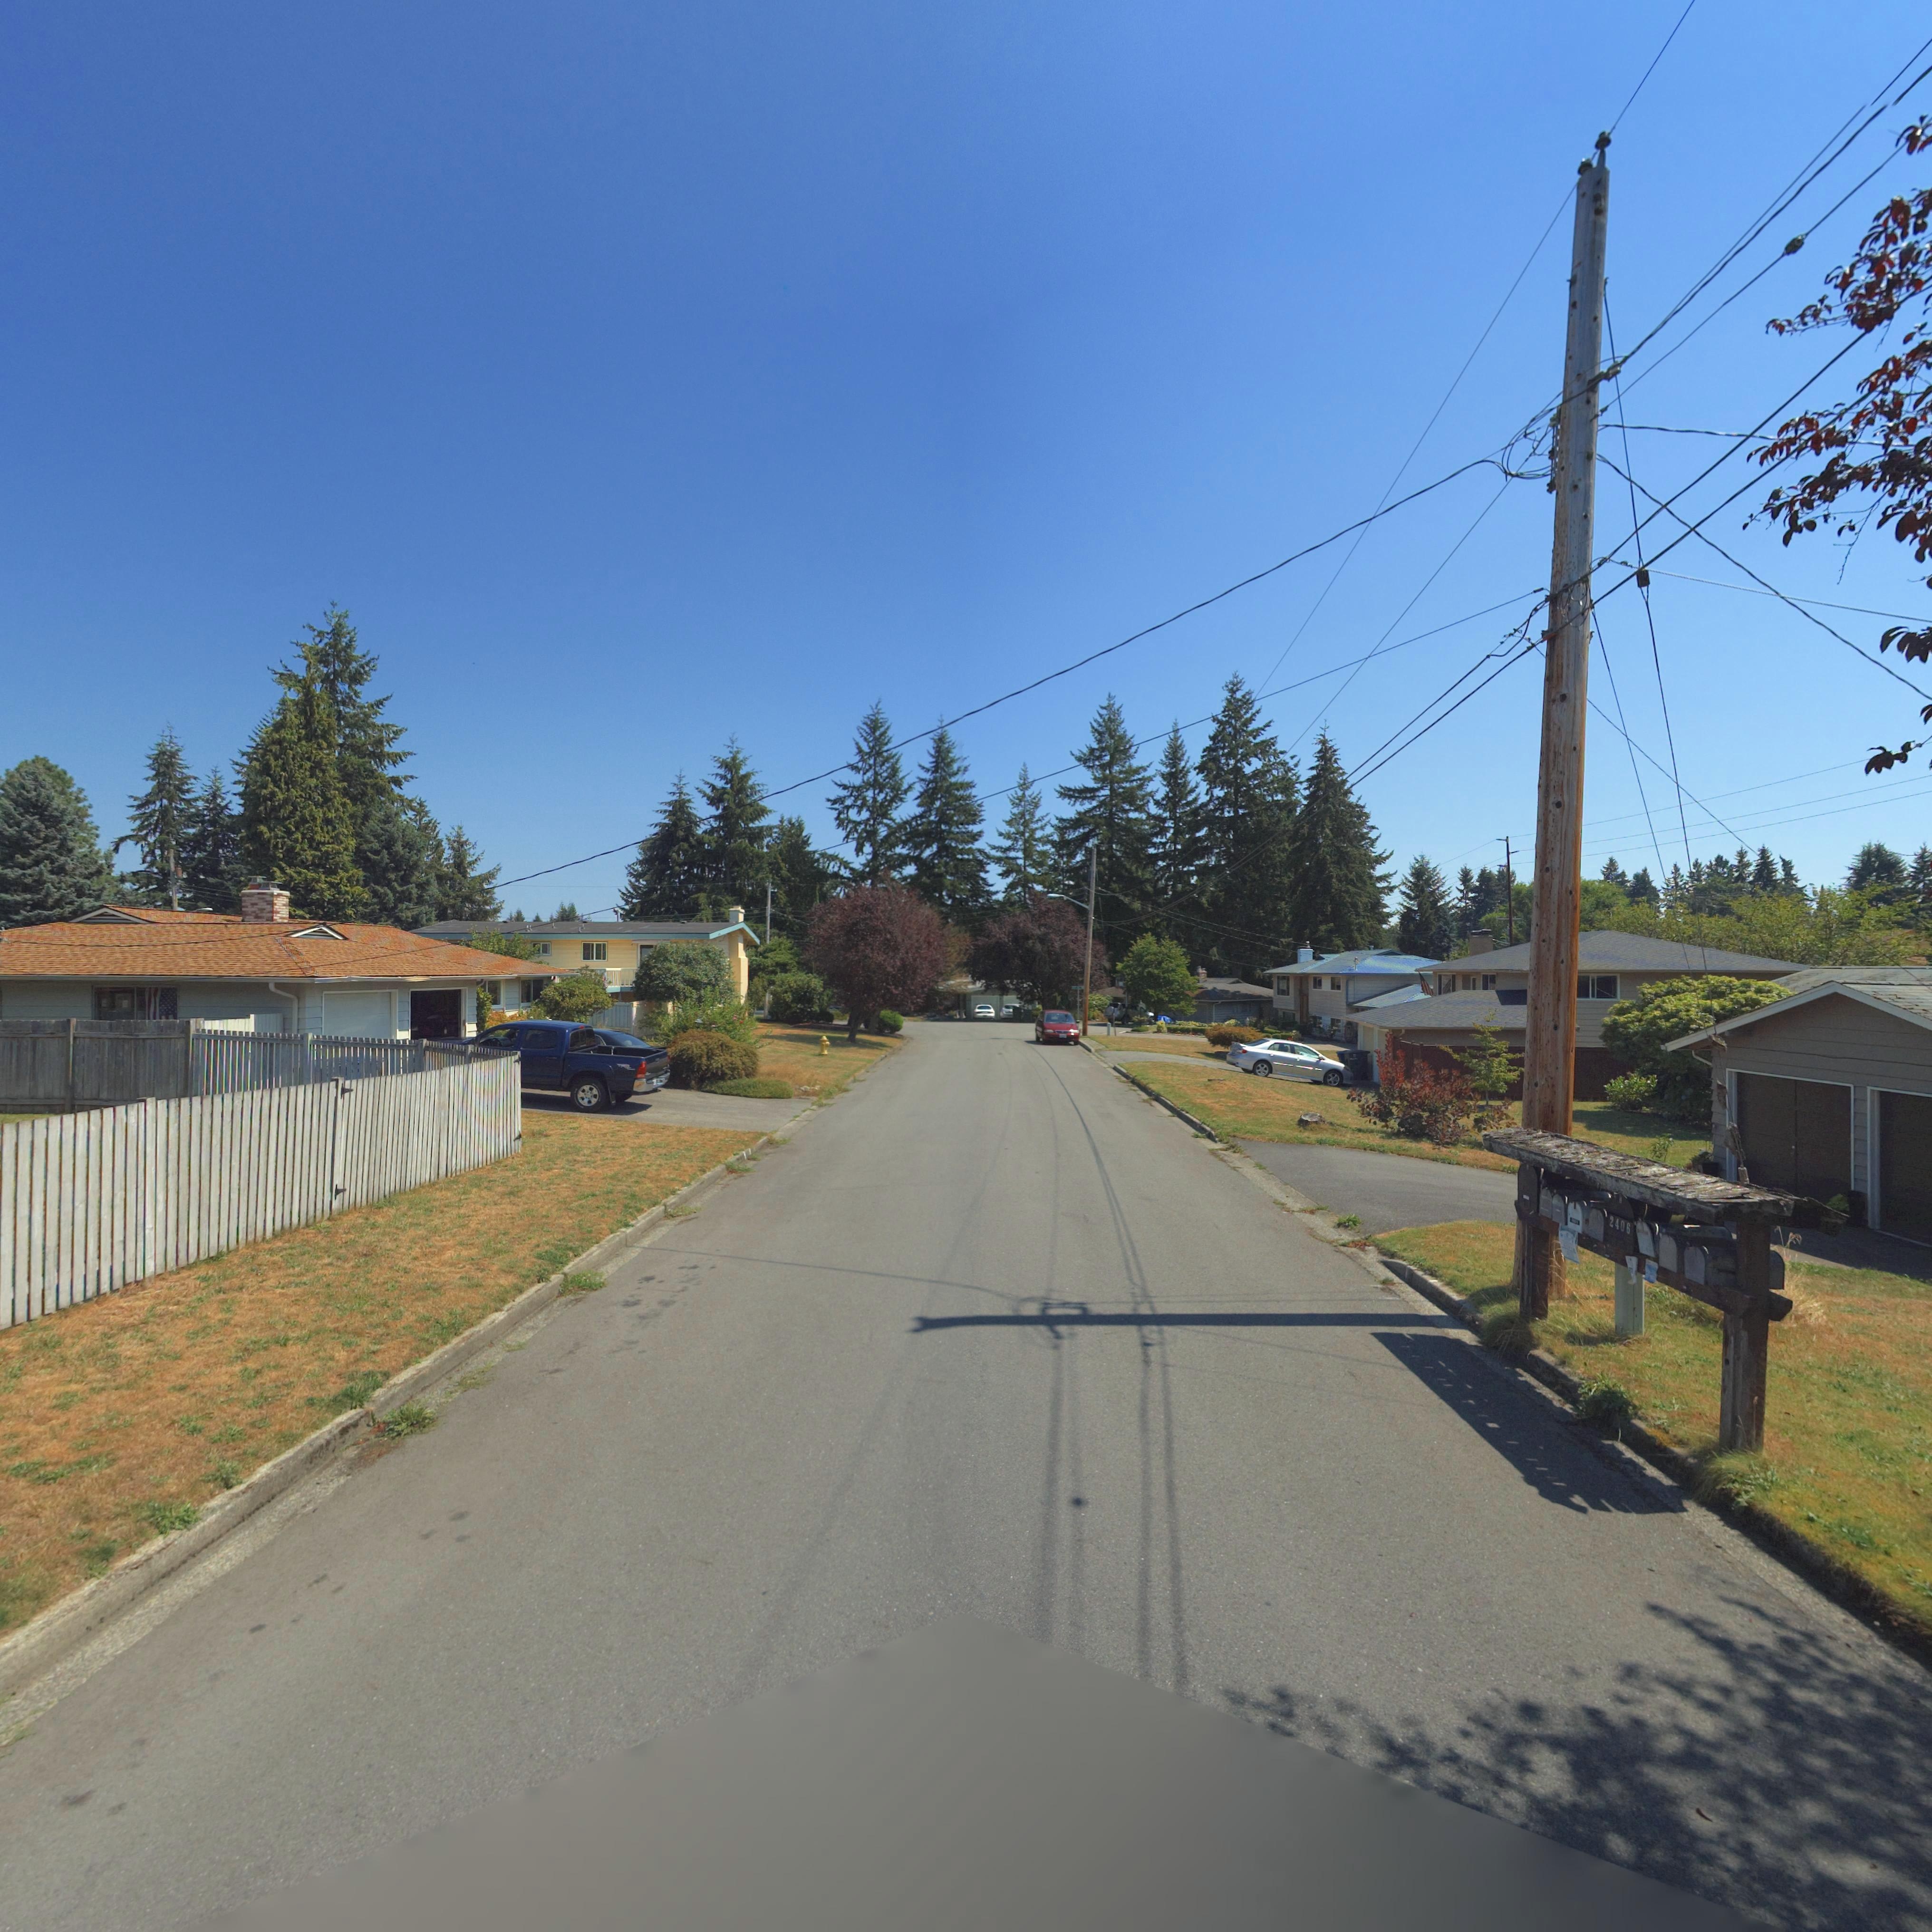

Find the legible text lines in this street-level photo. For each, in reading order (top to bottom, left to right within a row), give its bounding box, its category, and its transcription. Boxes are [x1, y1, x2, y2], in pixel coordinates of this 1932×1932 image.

[1609, 1215, 1631, 1235] StreetNumber: 2406